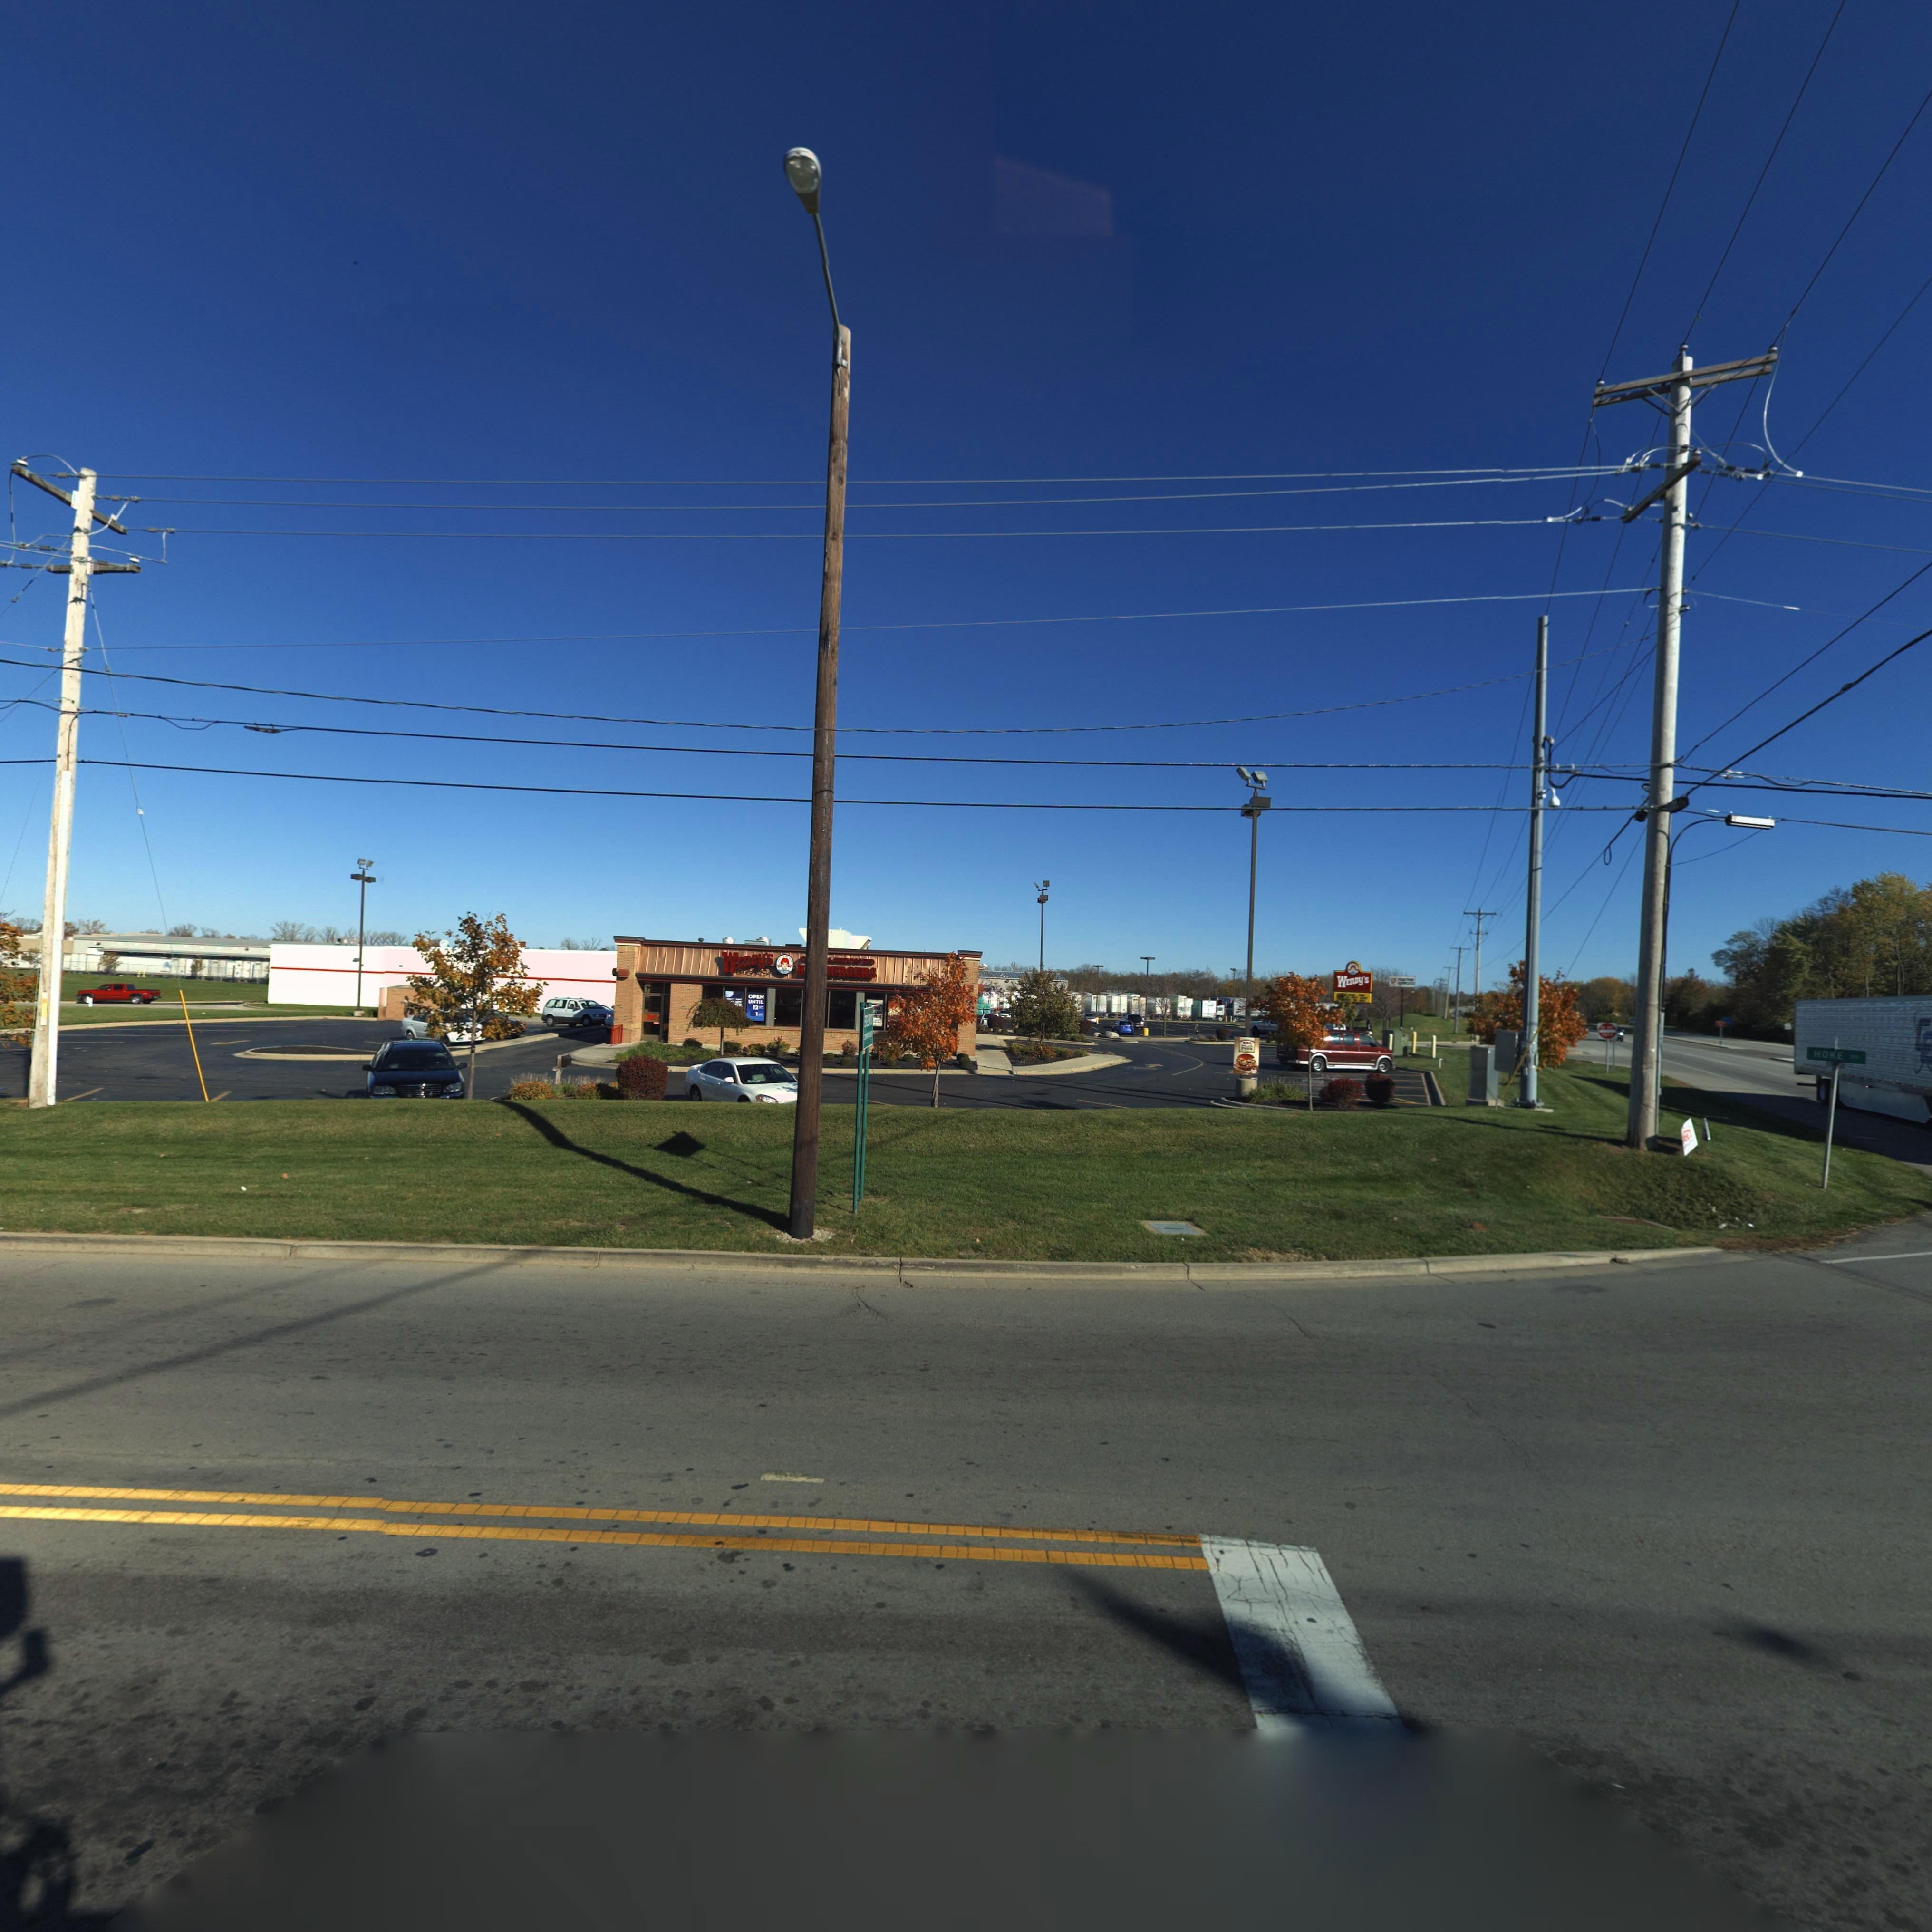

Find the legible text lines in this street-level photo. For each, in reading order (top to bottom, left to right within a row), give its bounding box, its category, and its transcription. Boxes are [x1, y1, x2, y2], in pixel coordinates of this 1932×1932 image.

[645, 985, 663, 993] StreetNumber: 7200